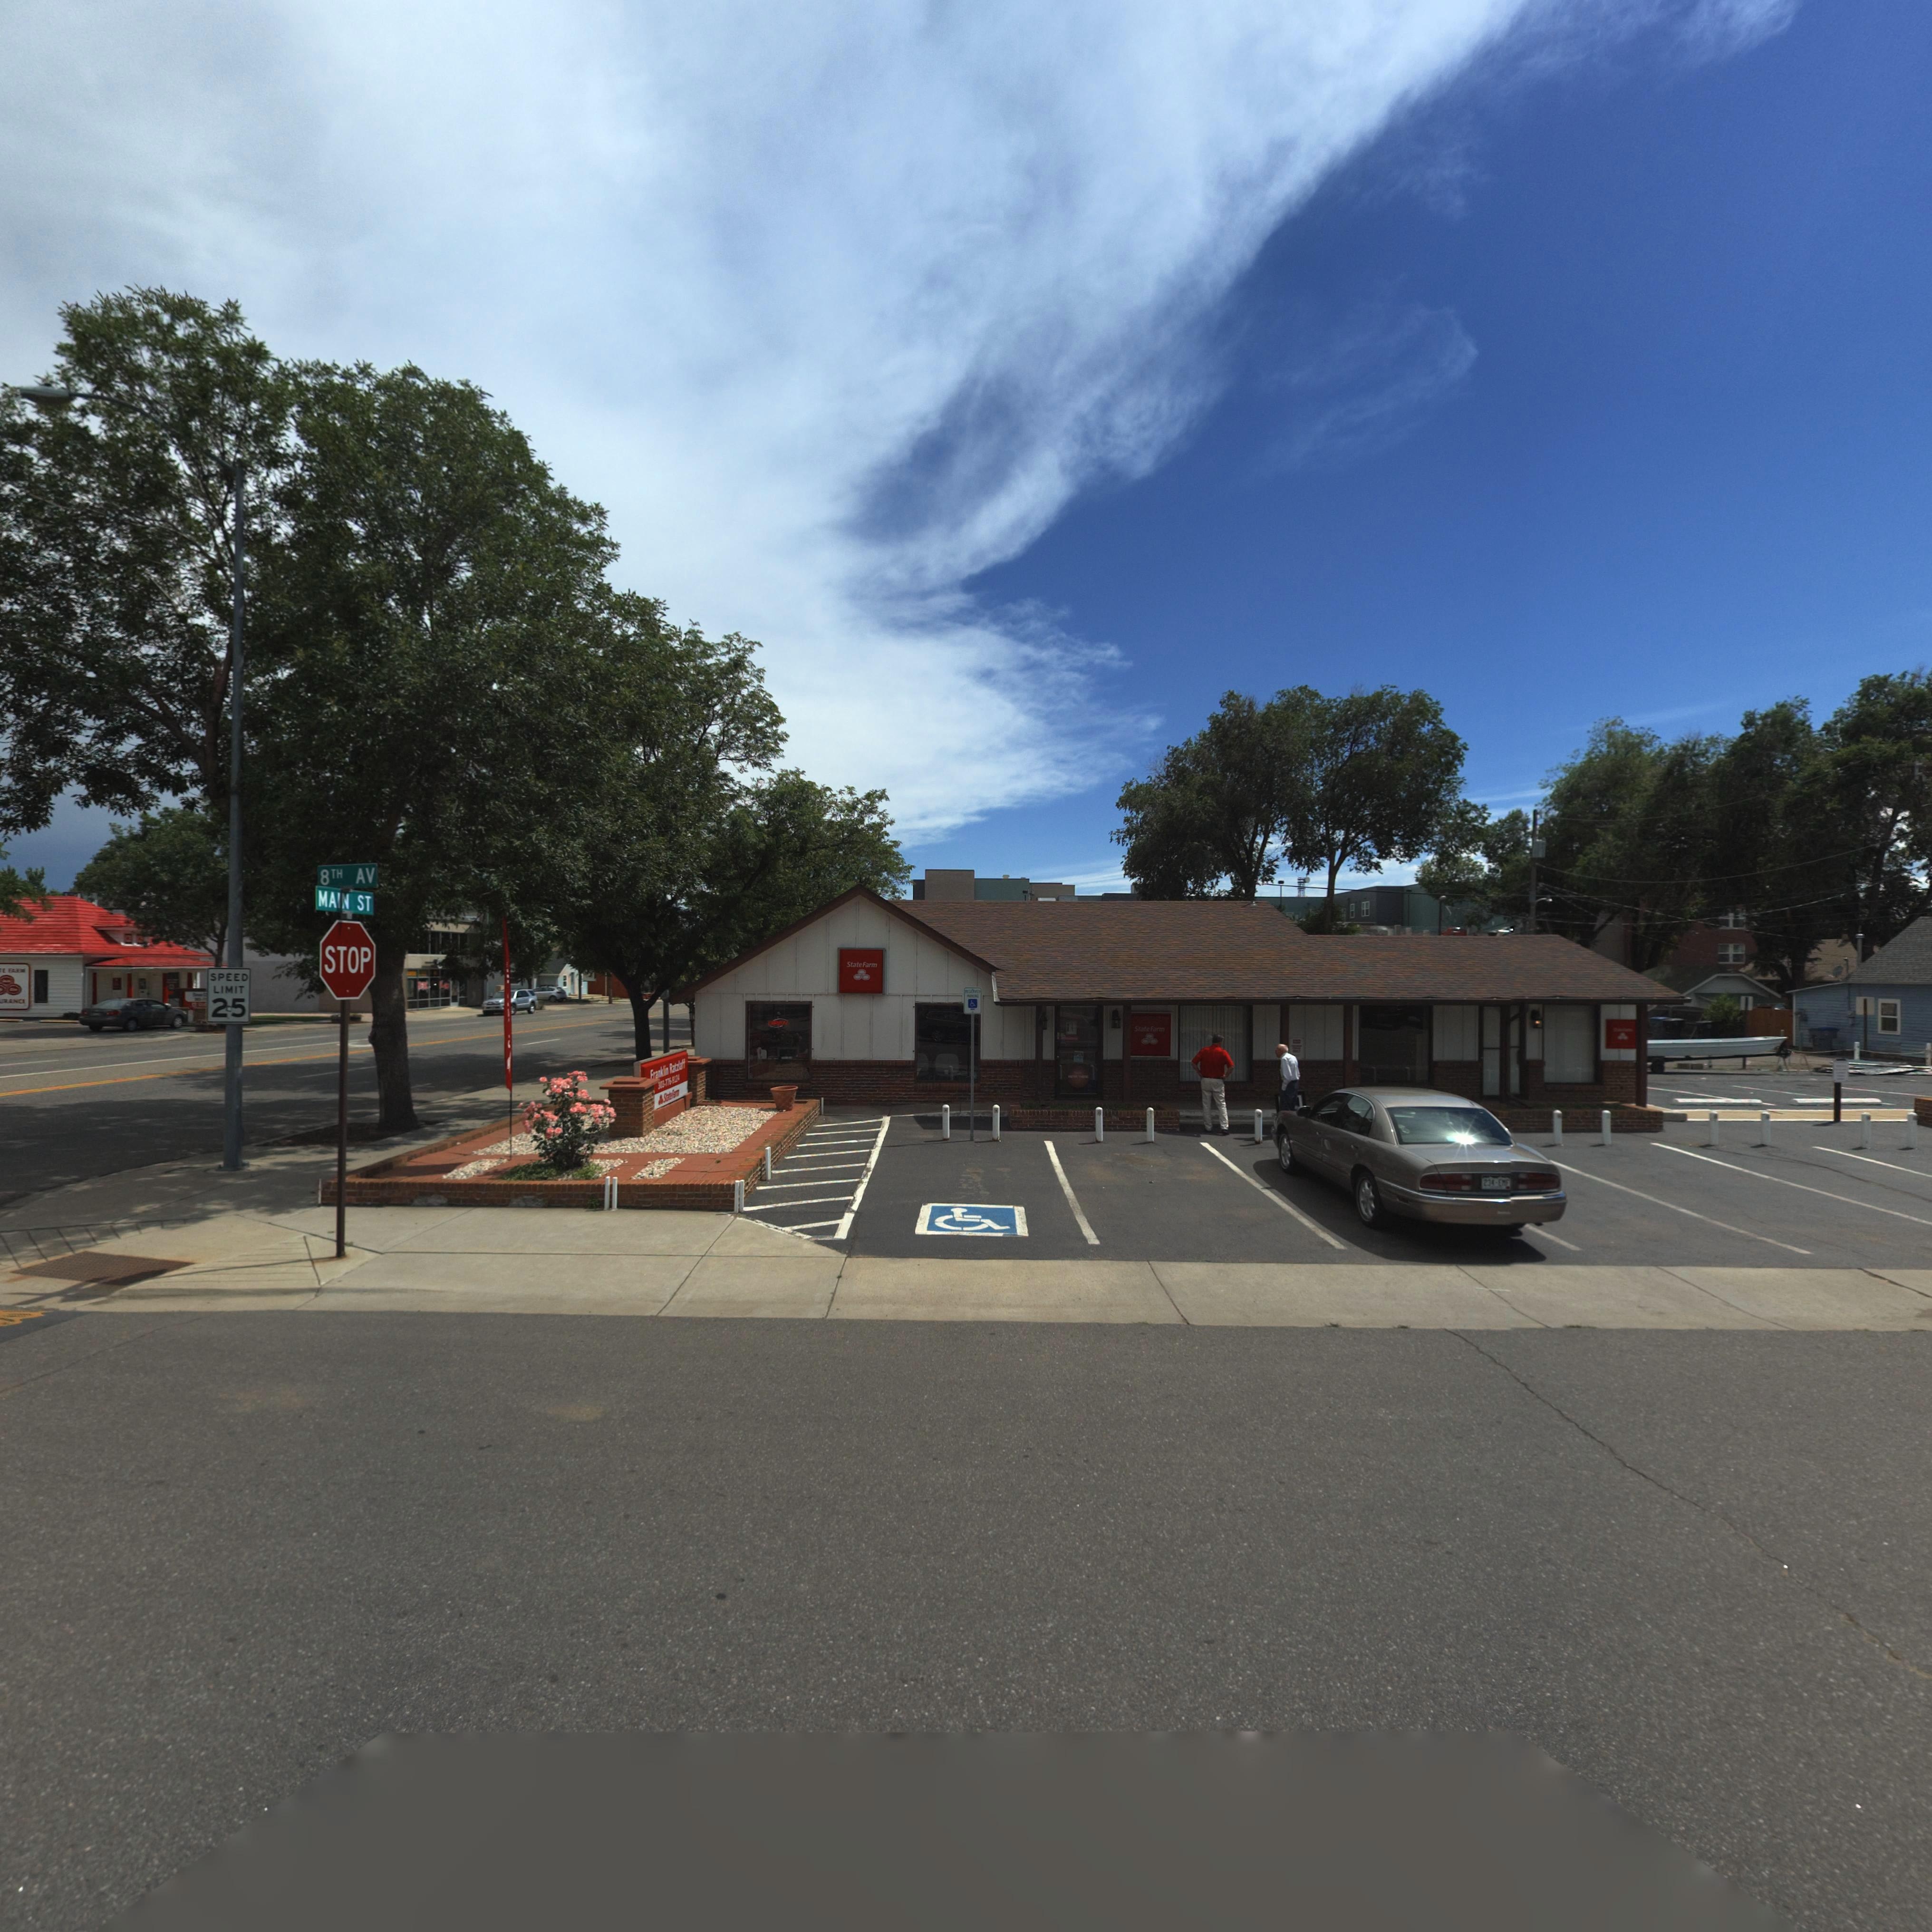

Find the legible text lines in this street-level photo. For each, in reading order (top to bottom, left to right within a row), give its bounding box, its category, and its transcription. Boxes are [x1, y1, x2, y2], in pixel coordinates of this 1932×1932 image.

[319, 867, 376, 887] StreetName: 8TH AV
[316, 888, 371, 912] StreetName: MAIN ST
[846, 961, 878, 968] BusinessName: State Farm
[1, 967, 26, 974] BusinessName: E FARM
[3, 997, 25, 1005] BusinessName: RANCE
[1134, 1025, 1165, 1032] BusinessName: State Farm
[663, 1088, 680, 1103] BusinessName: State Farm